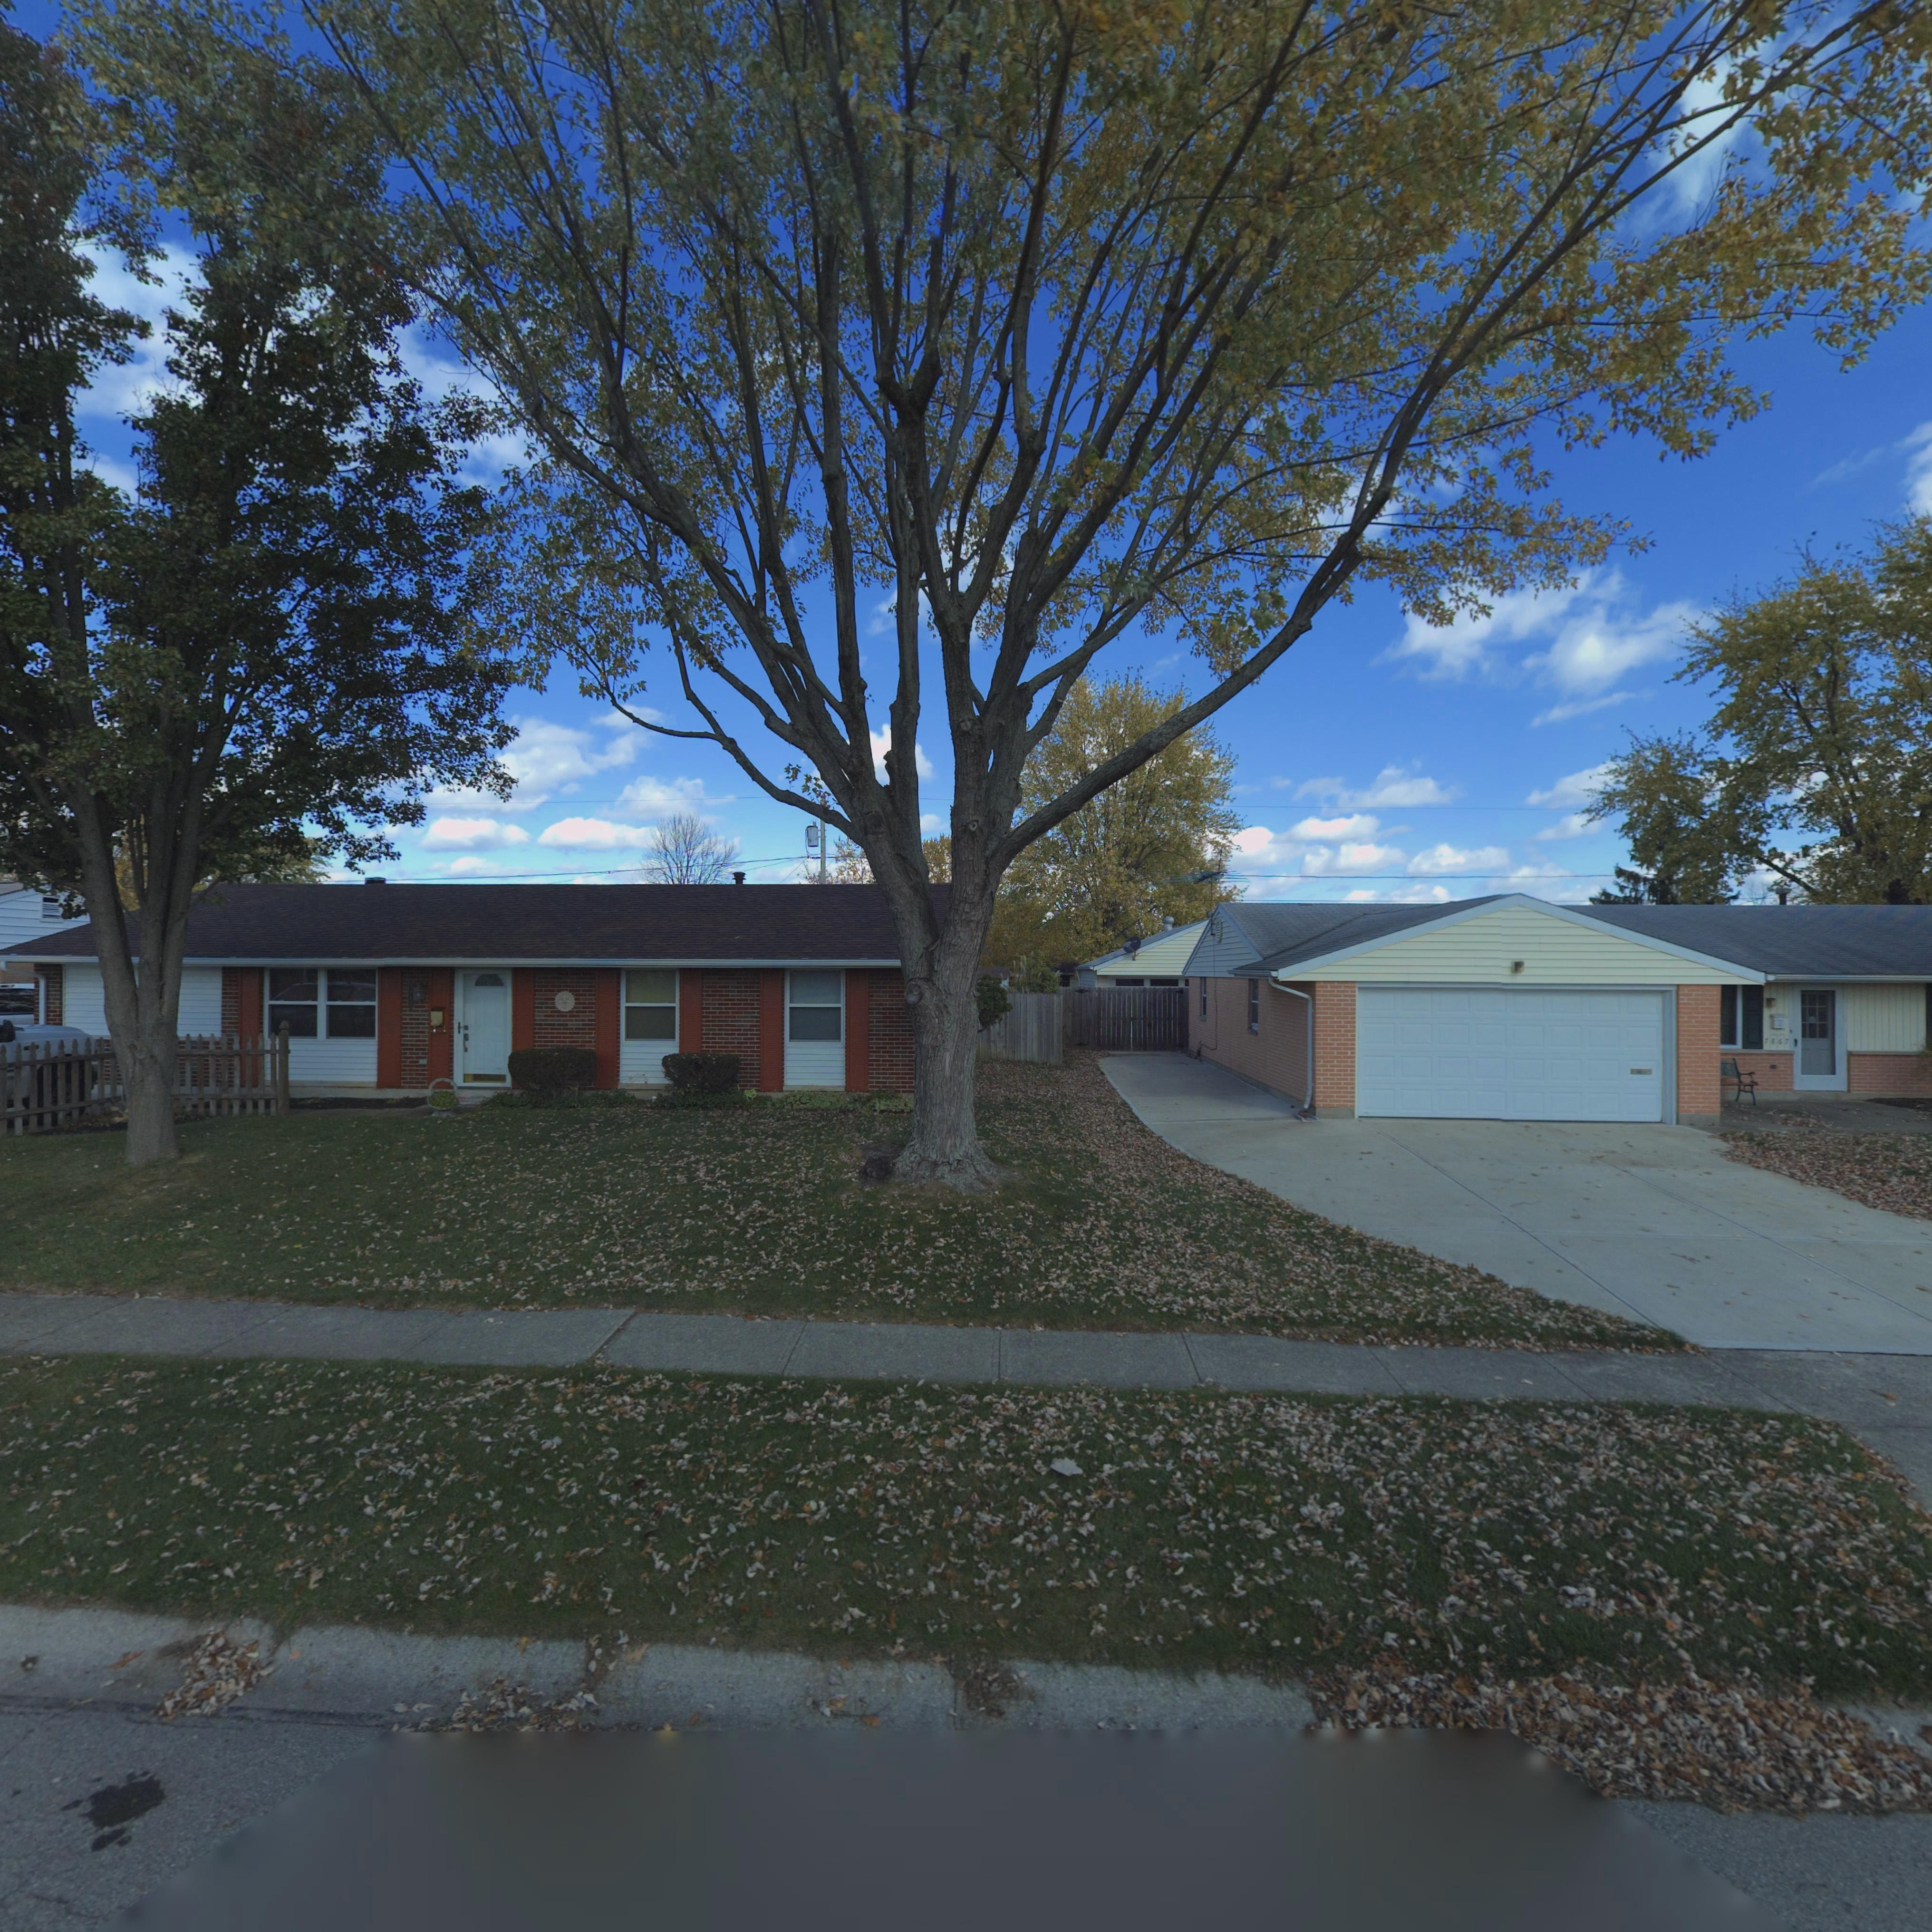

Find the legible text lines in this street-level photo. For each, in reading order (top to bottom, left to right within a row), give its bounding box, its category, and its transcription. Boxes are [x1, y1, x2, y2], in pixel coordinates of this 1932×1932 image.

[408, 982, 413, 1006] StreetNumber: **75
[1764, 1038, 1789, 1044] StreetNumber: 7867